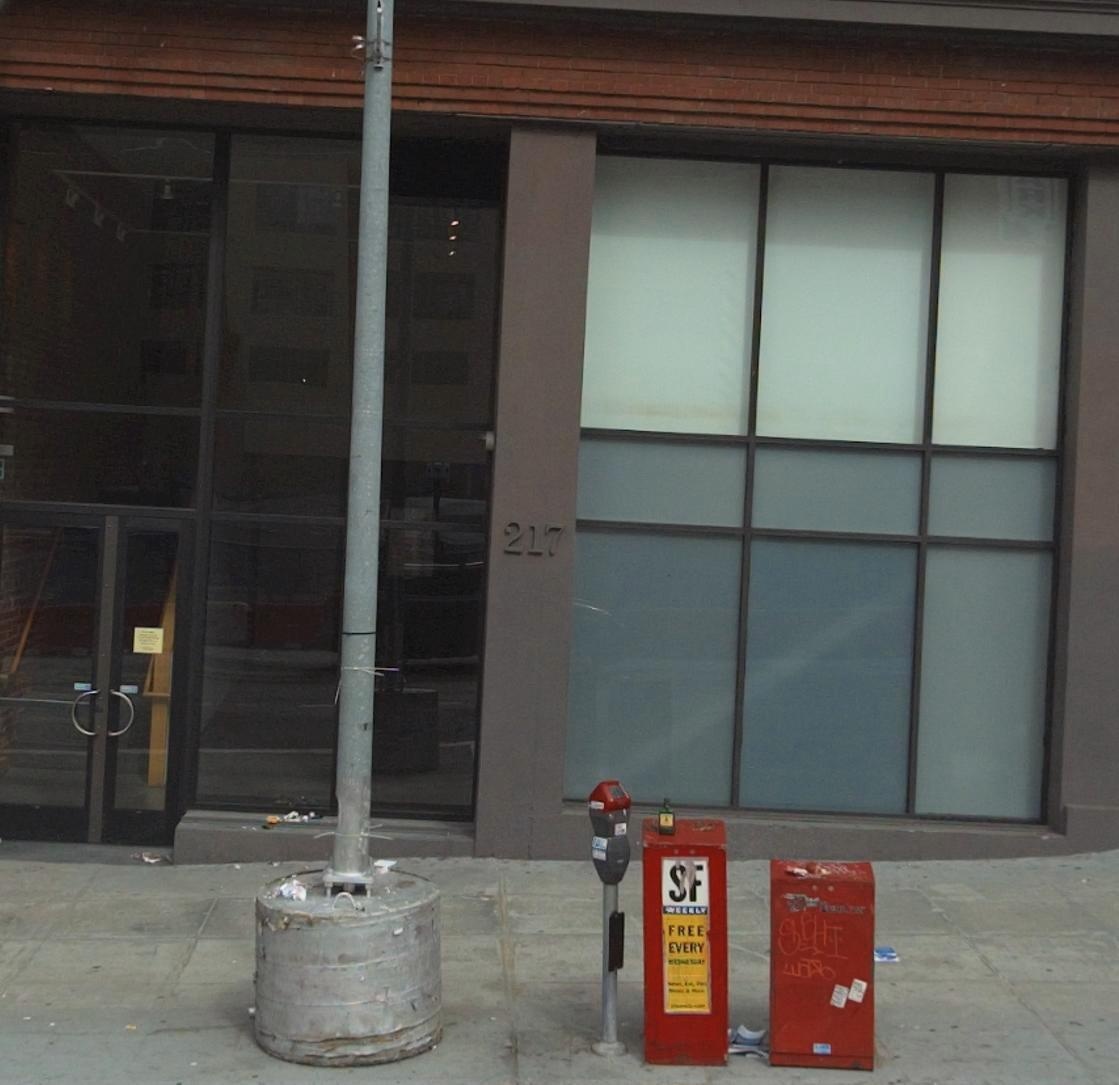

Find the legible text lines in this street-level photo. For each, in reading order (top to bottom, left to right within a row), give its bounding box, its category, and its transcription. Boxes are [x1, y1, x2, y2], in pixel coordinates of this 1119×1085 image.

[500, 520, 568, 558] StreetNumber: 217
[665, 939, 707, 957] None: EVERY
[666, 922, 707, 939] None: FREE
[811, 913, 850, 962] None: HI